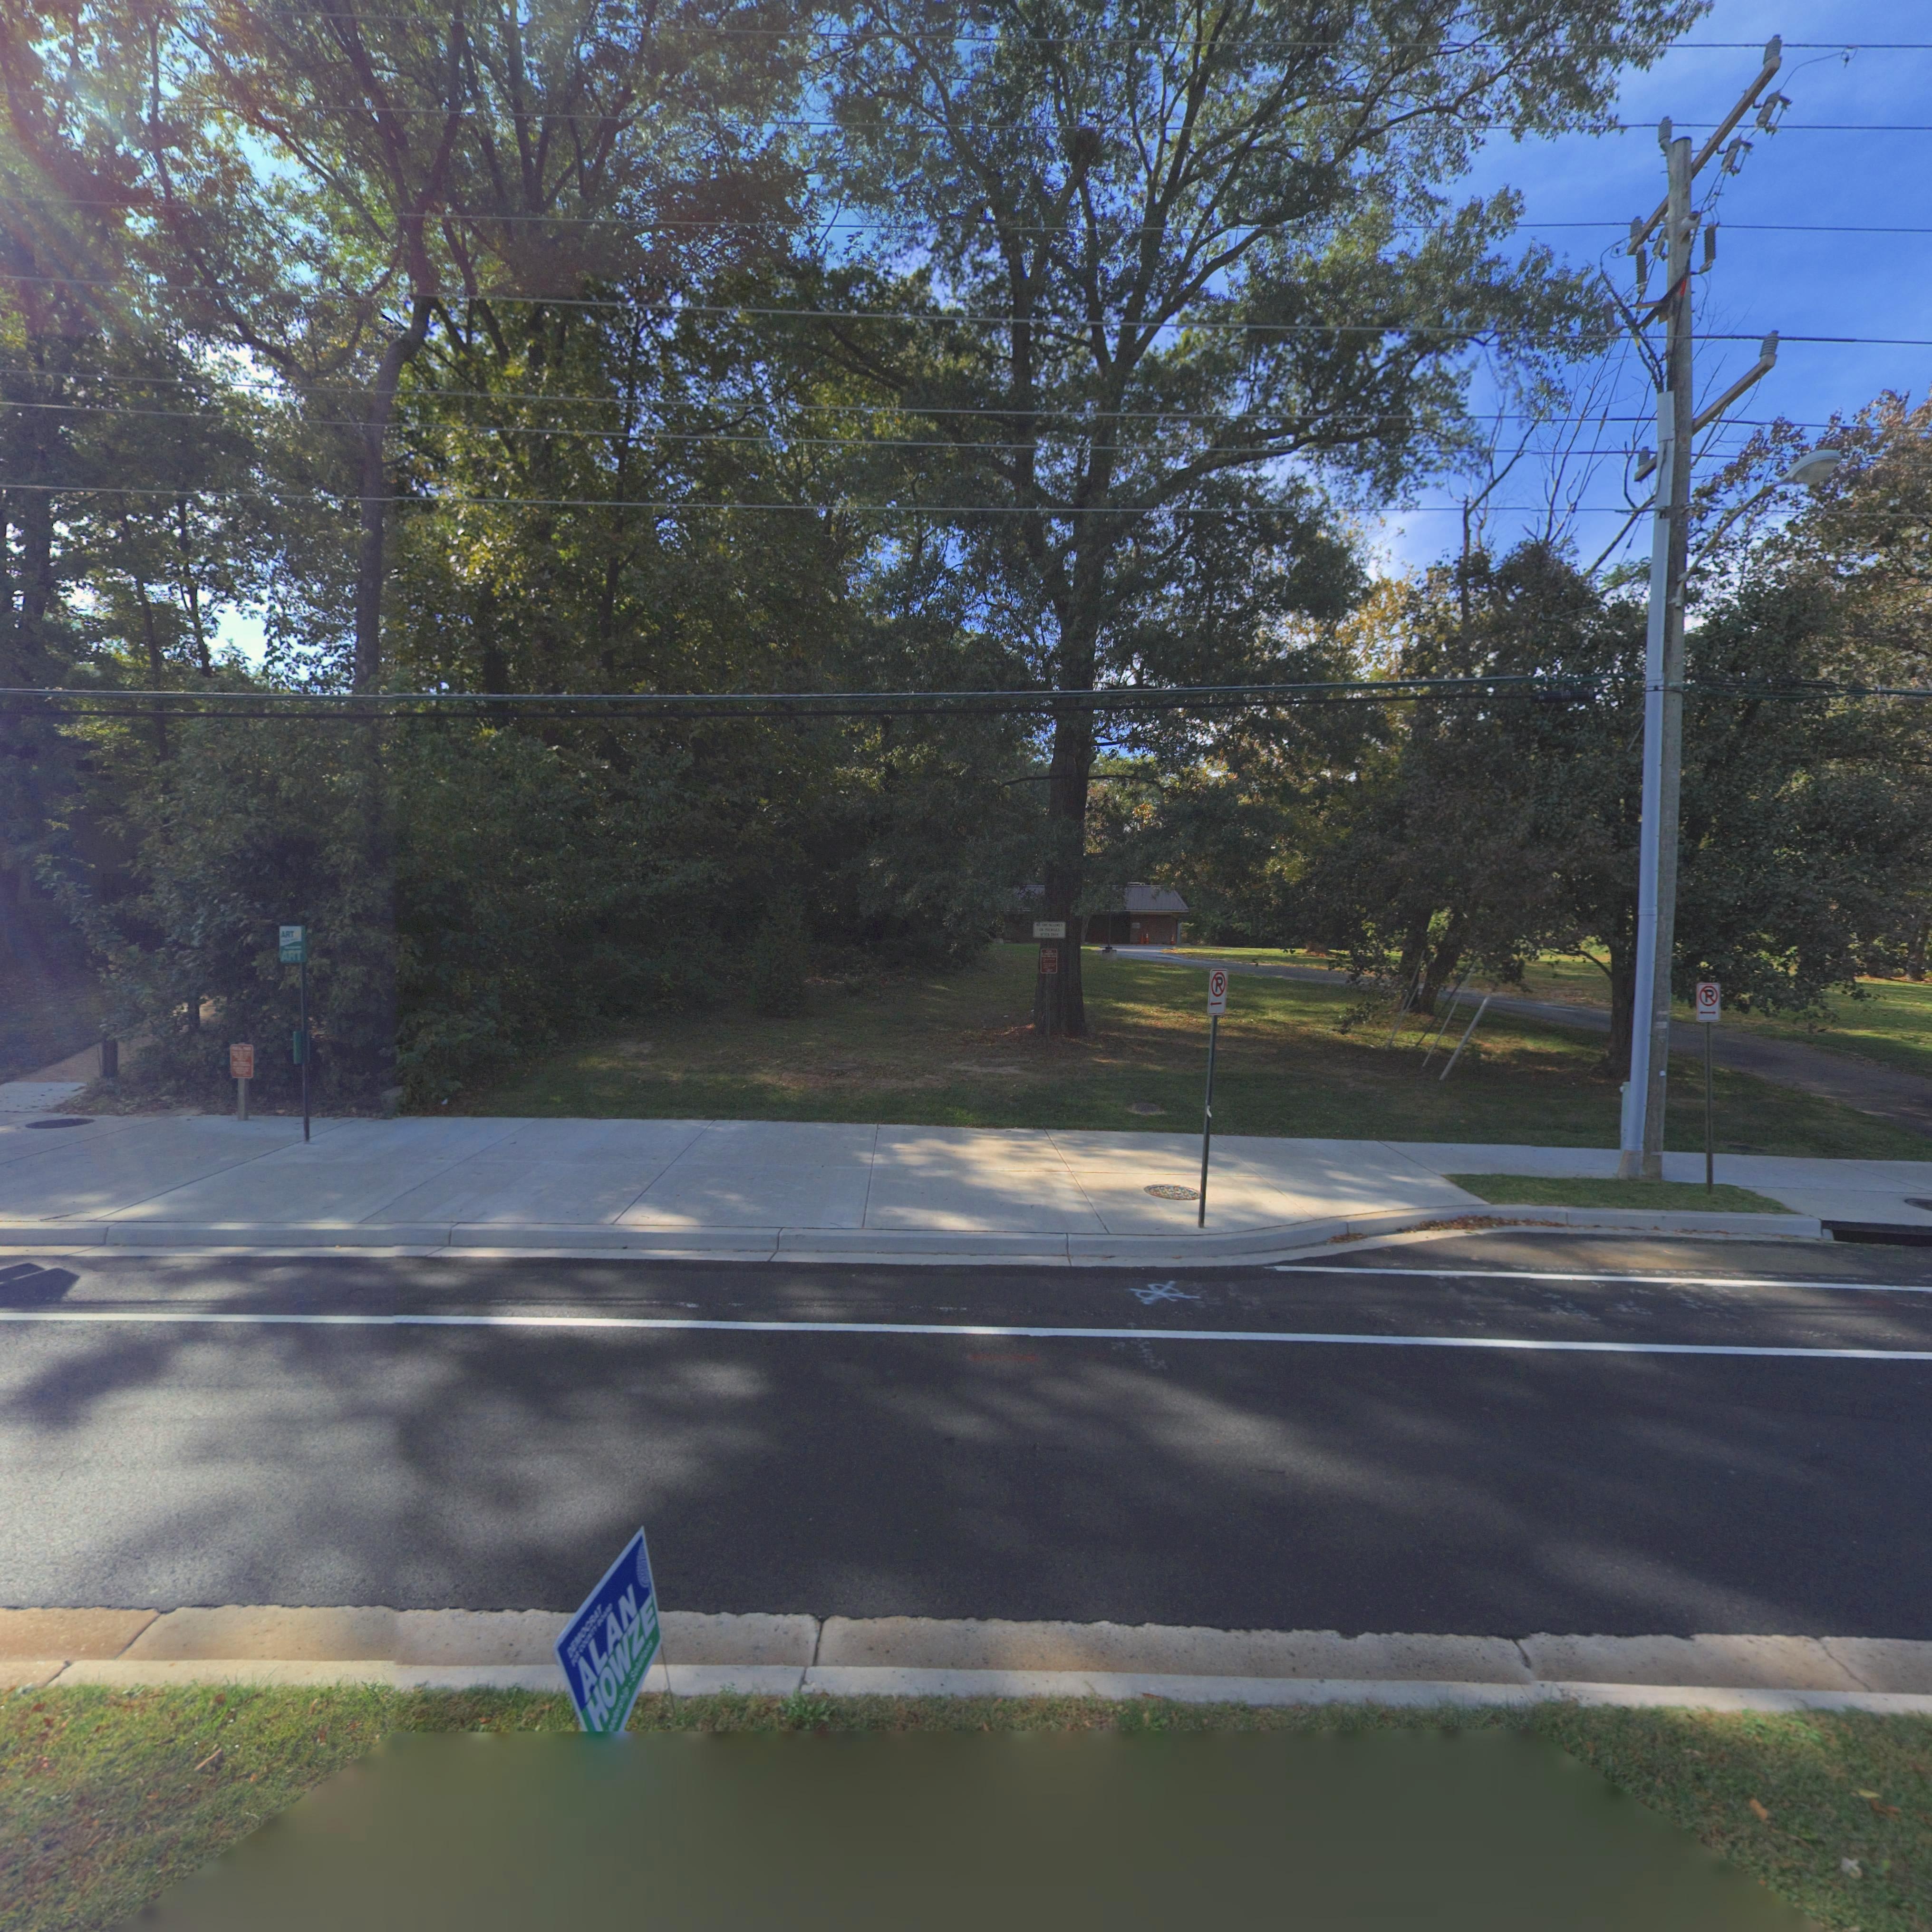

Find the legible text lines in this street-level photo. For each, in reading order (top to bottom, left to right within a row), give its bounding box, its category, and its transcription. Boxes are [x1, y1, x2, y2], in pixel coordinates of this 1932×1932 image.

[279, 929, 296, 939] None: ART
[278, 948, 304, 964] None: ART
[562, 1601, 604, 1662] None: DEMOCRAT
[573, 1581, 640, 1706] None: ALAN
[582, 1591, 658, 1732] None: HOWZE